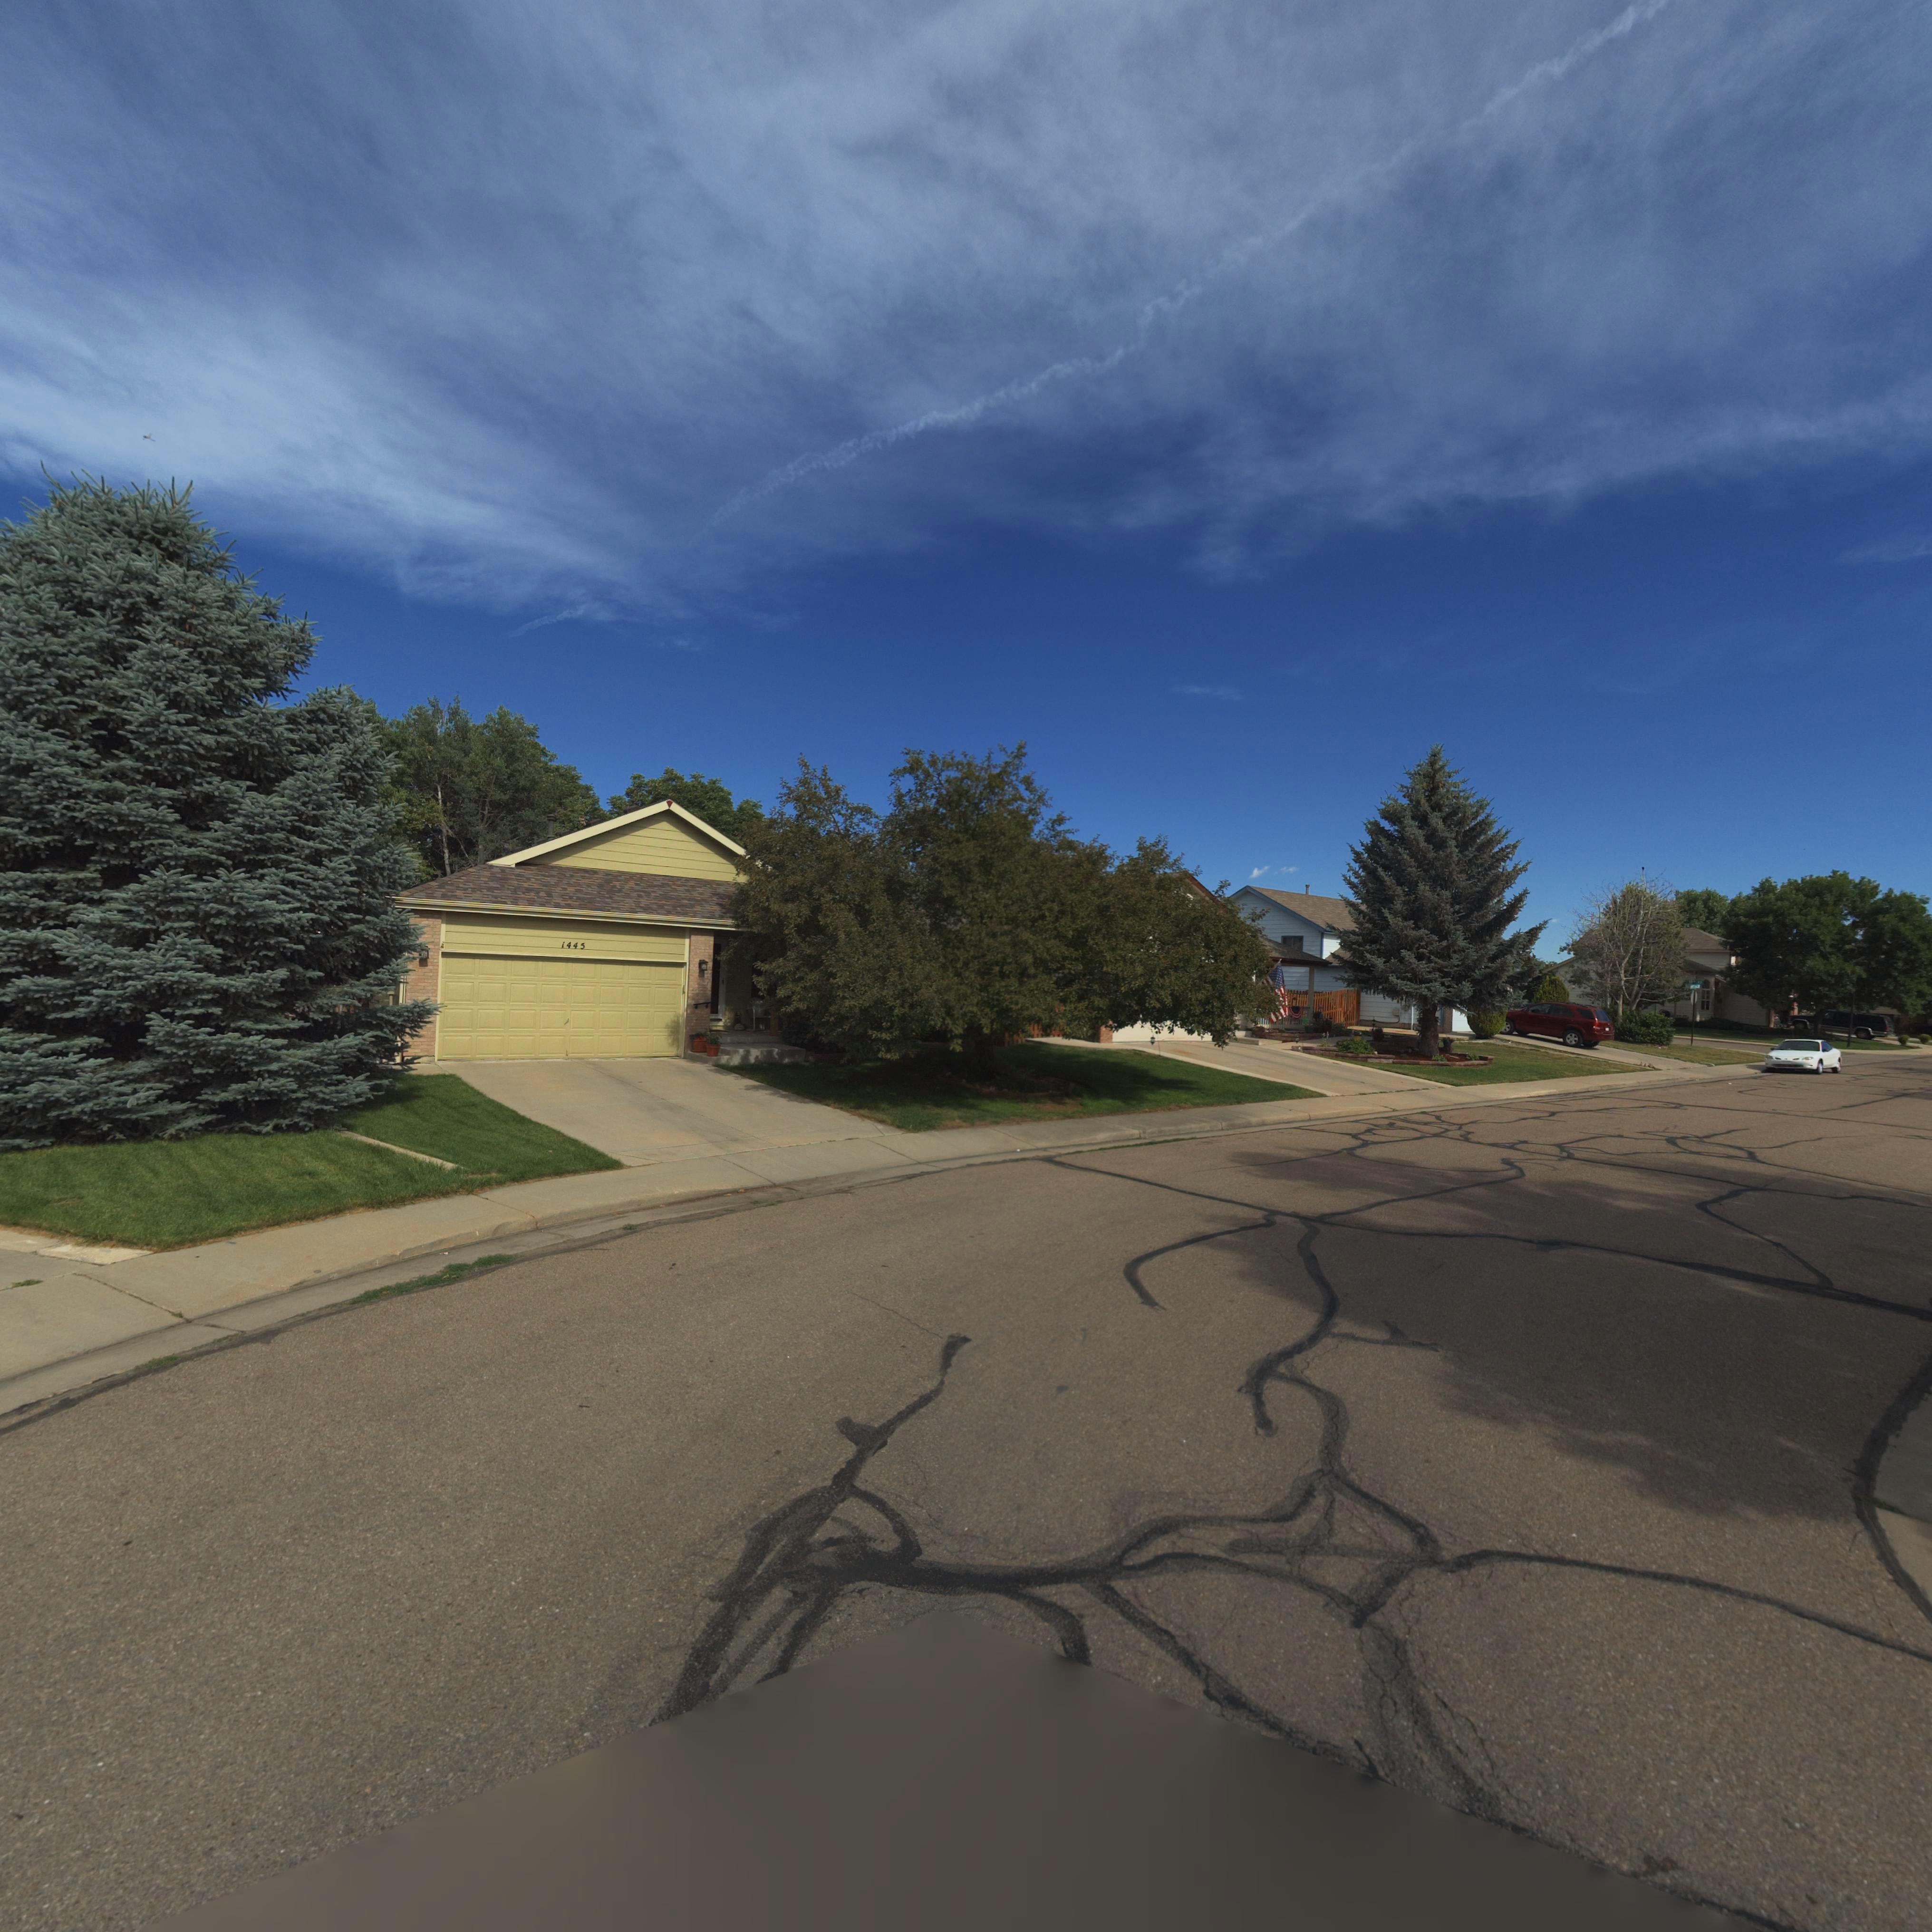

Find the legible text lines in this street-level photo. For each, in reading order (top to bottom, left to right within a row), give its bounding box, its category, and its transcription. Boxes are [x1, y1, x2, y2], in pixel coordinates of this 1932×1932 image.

[560, 940, 585, 950] StreetNumber: 1445
[1689, 979, 1702, 984] StreetName: **TH AV